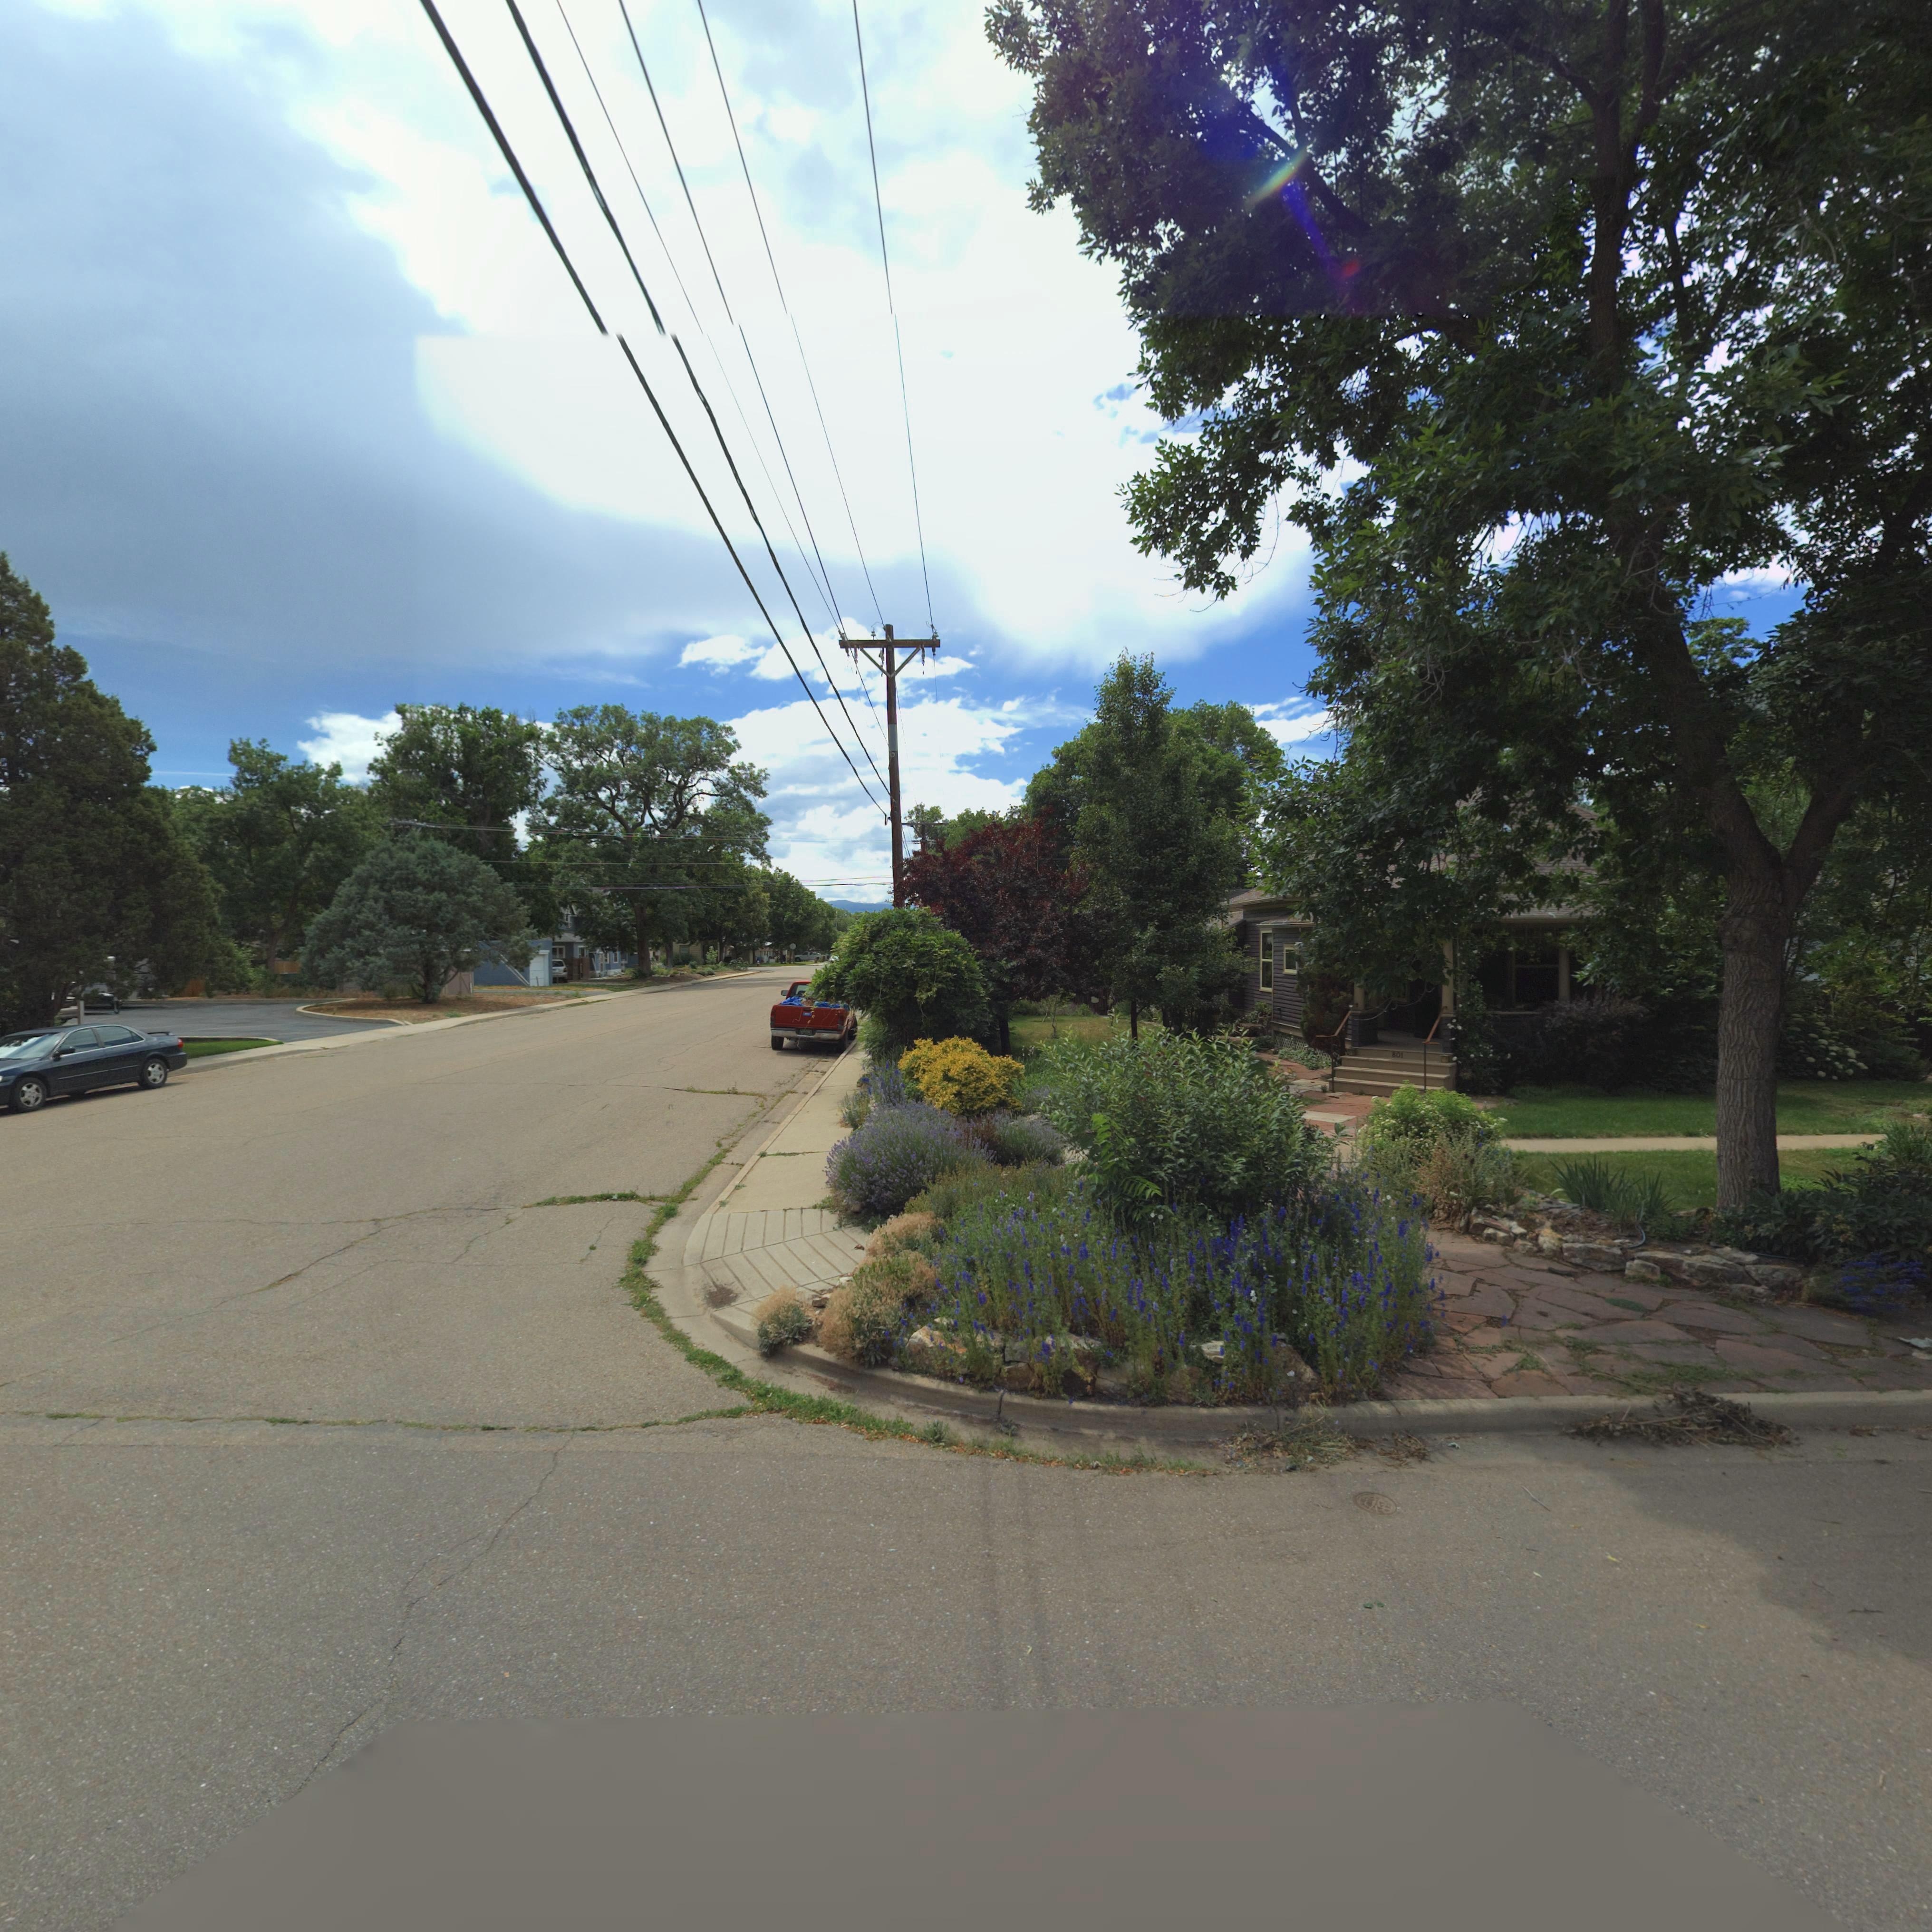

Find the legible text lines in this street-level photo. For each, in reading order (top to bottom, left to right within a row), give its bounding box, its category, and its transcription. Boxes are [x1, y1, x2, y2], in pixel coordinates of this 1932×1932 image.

[1391, 1051, 1403, 1058] StreetNumber: 801